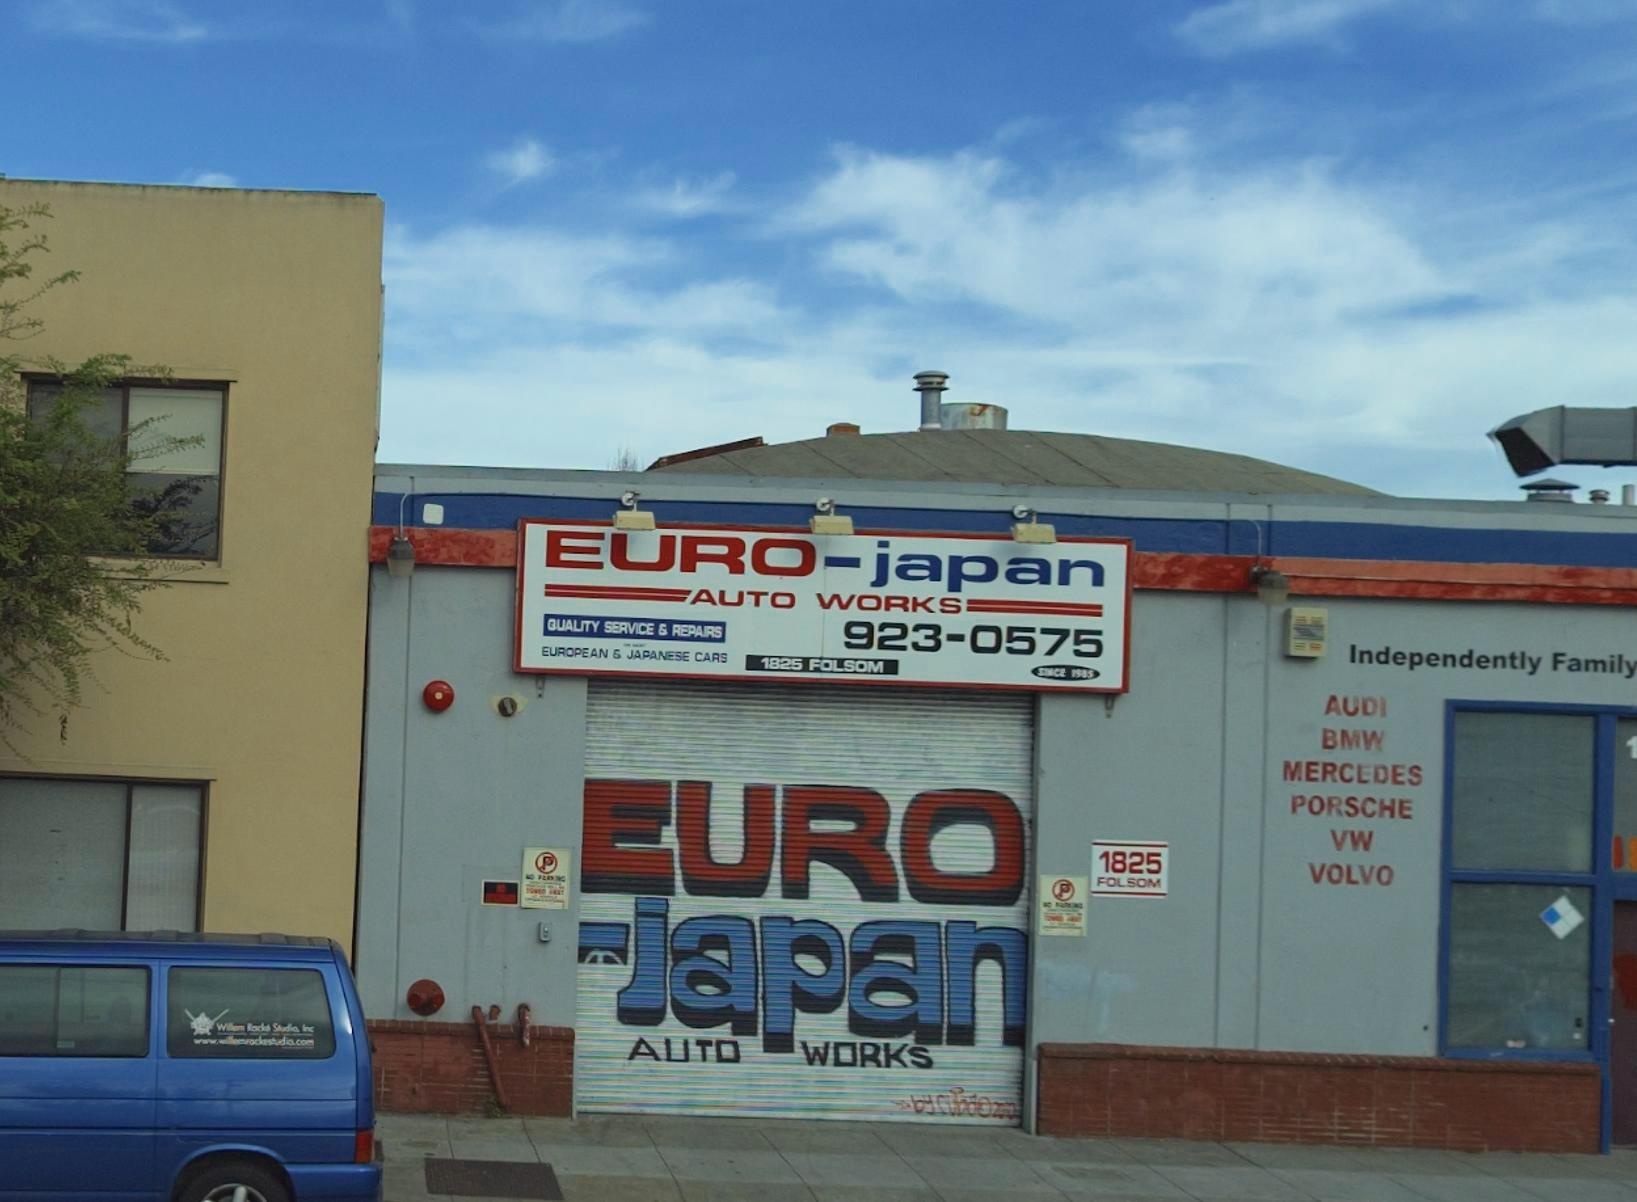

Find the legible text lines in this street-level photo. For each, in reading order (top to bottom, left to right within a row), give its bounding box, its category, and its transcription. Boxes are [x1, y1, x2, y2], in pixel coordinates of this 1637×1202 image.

[541, 524, 1110, 597] BusinessName: EURO-japan
[680, 583, 965, 617] None: AUTO WORKS
[543, 614, 726, 641] None: QUALITY SERVICE & REPAIRS
[538, 642, 731, 666] None: EUROPEAN & JAPANESE CARS
[758, 653, 807, 672] StreetNumber: 1825
[806, 654, 888, 676] StreetName: FOLSOM
[838, 614, 1109, 662] None: 923-0575
[1034, 664, 1097, 681] None: SINCE 1985
[1344, 639, 1626, 681] None: Independently Famil
[1315, 689, 1392, 721] None: AUDI
[1317, 723, 1392, 756] None: BMW
[1278, 755, 1427, 789] None: MERCEDES
[1286, 790, 1418, 824] None: PORSCHE
[575, 770, 1031, 911] None: EURO
[1324, 825, 1382, 856] None: VW
[1094, 873, 1165, 891] StreetName: FOLSOM
[1096, 847, 1165, 877] StreetNumber: 1825
[1302, 858, 1400, 890] None: VOLVO
[608, 889, 1037, 1063] None: japan
[618, 1032, 749, 1067] None: AUTO
[795, 1035, 941, 1072] None: WORKS